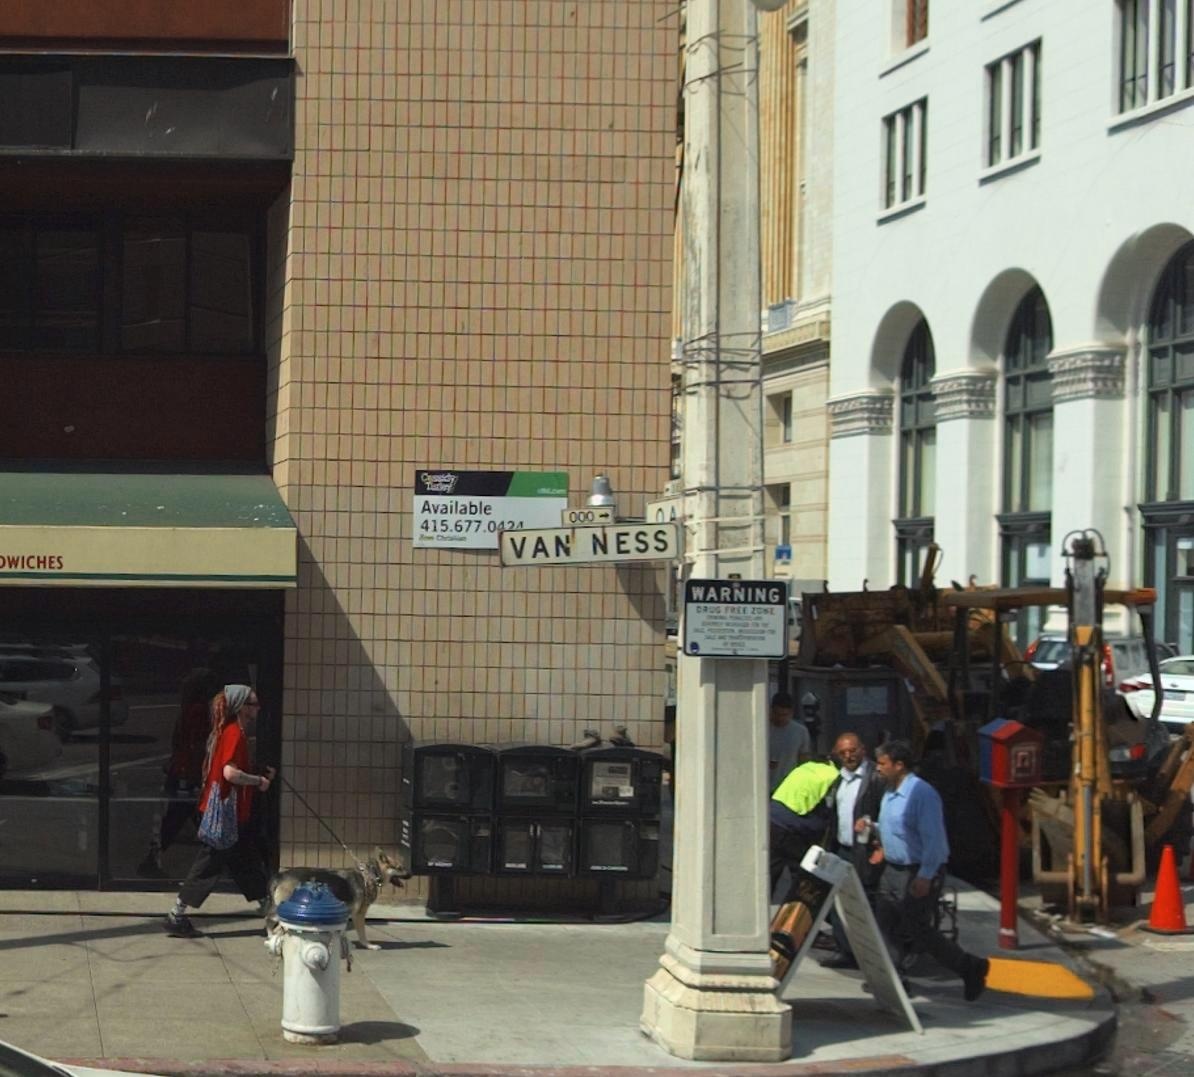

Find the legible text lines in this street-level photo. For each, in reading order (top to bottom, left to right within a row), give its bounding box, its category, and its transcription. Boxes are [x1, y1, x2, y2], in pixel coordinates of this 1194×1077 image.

[420, 498, 494, 516] None: Available
[565, 510, 611, 523] StreetNumberRange: 000->
[420, 519, 497, 535] None: 415.677.0
[506, 528, 671, 561] StreetName: VAN NESS
[5, 553, 64, 571] None: WICHES
[688, 585, 782, 603] None: WARNING